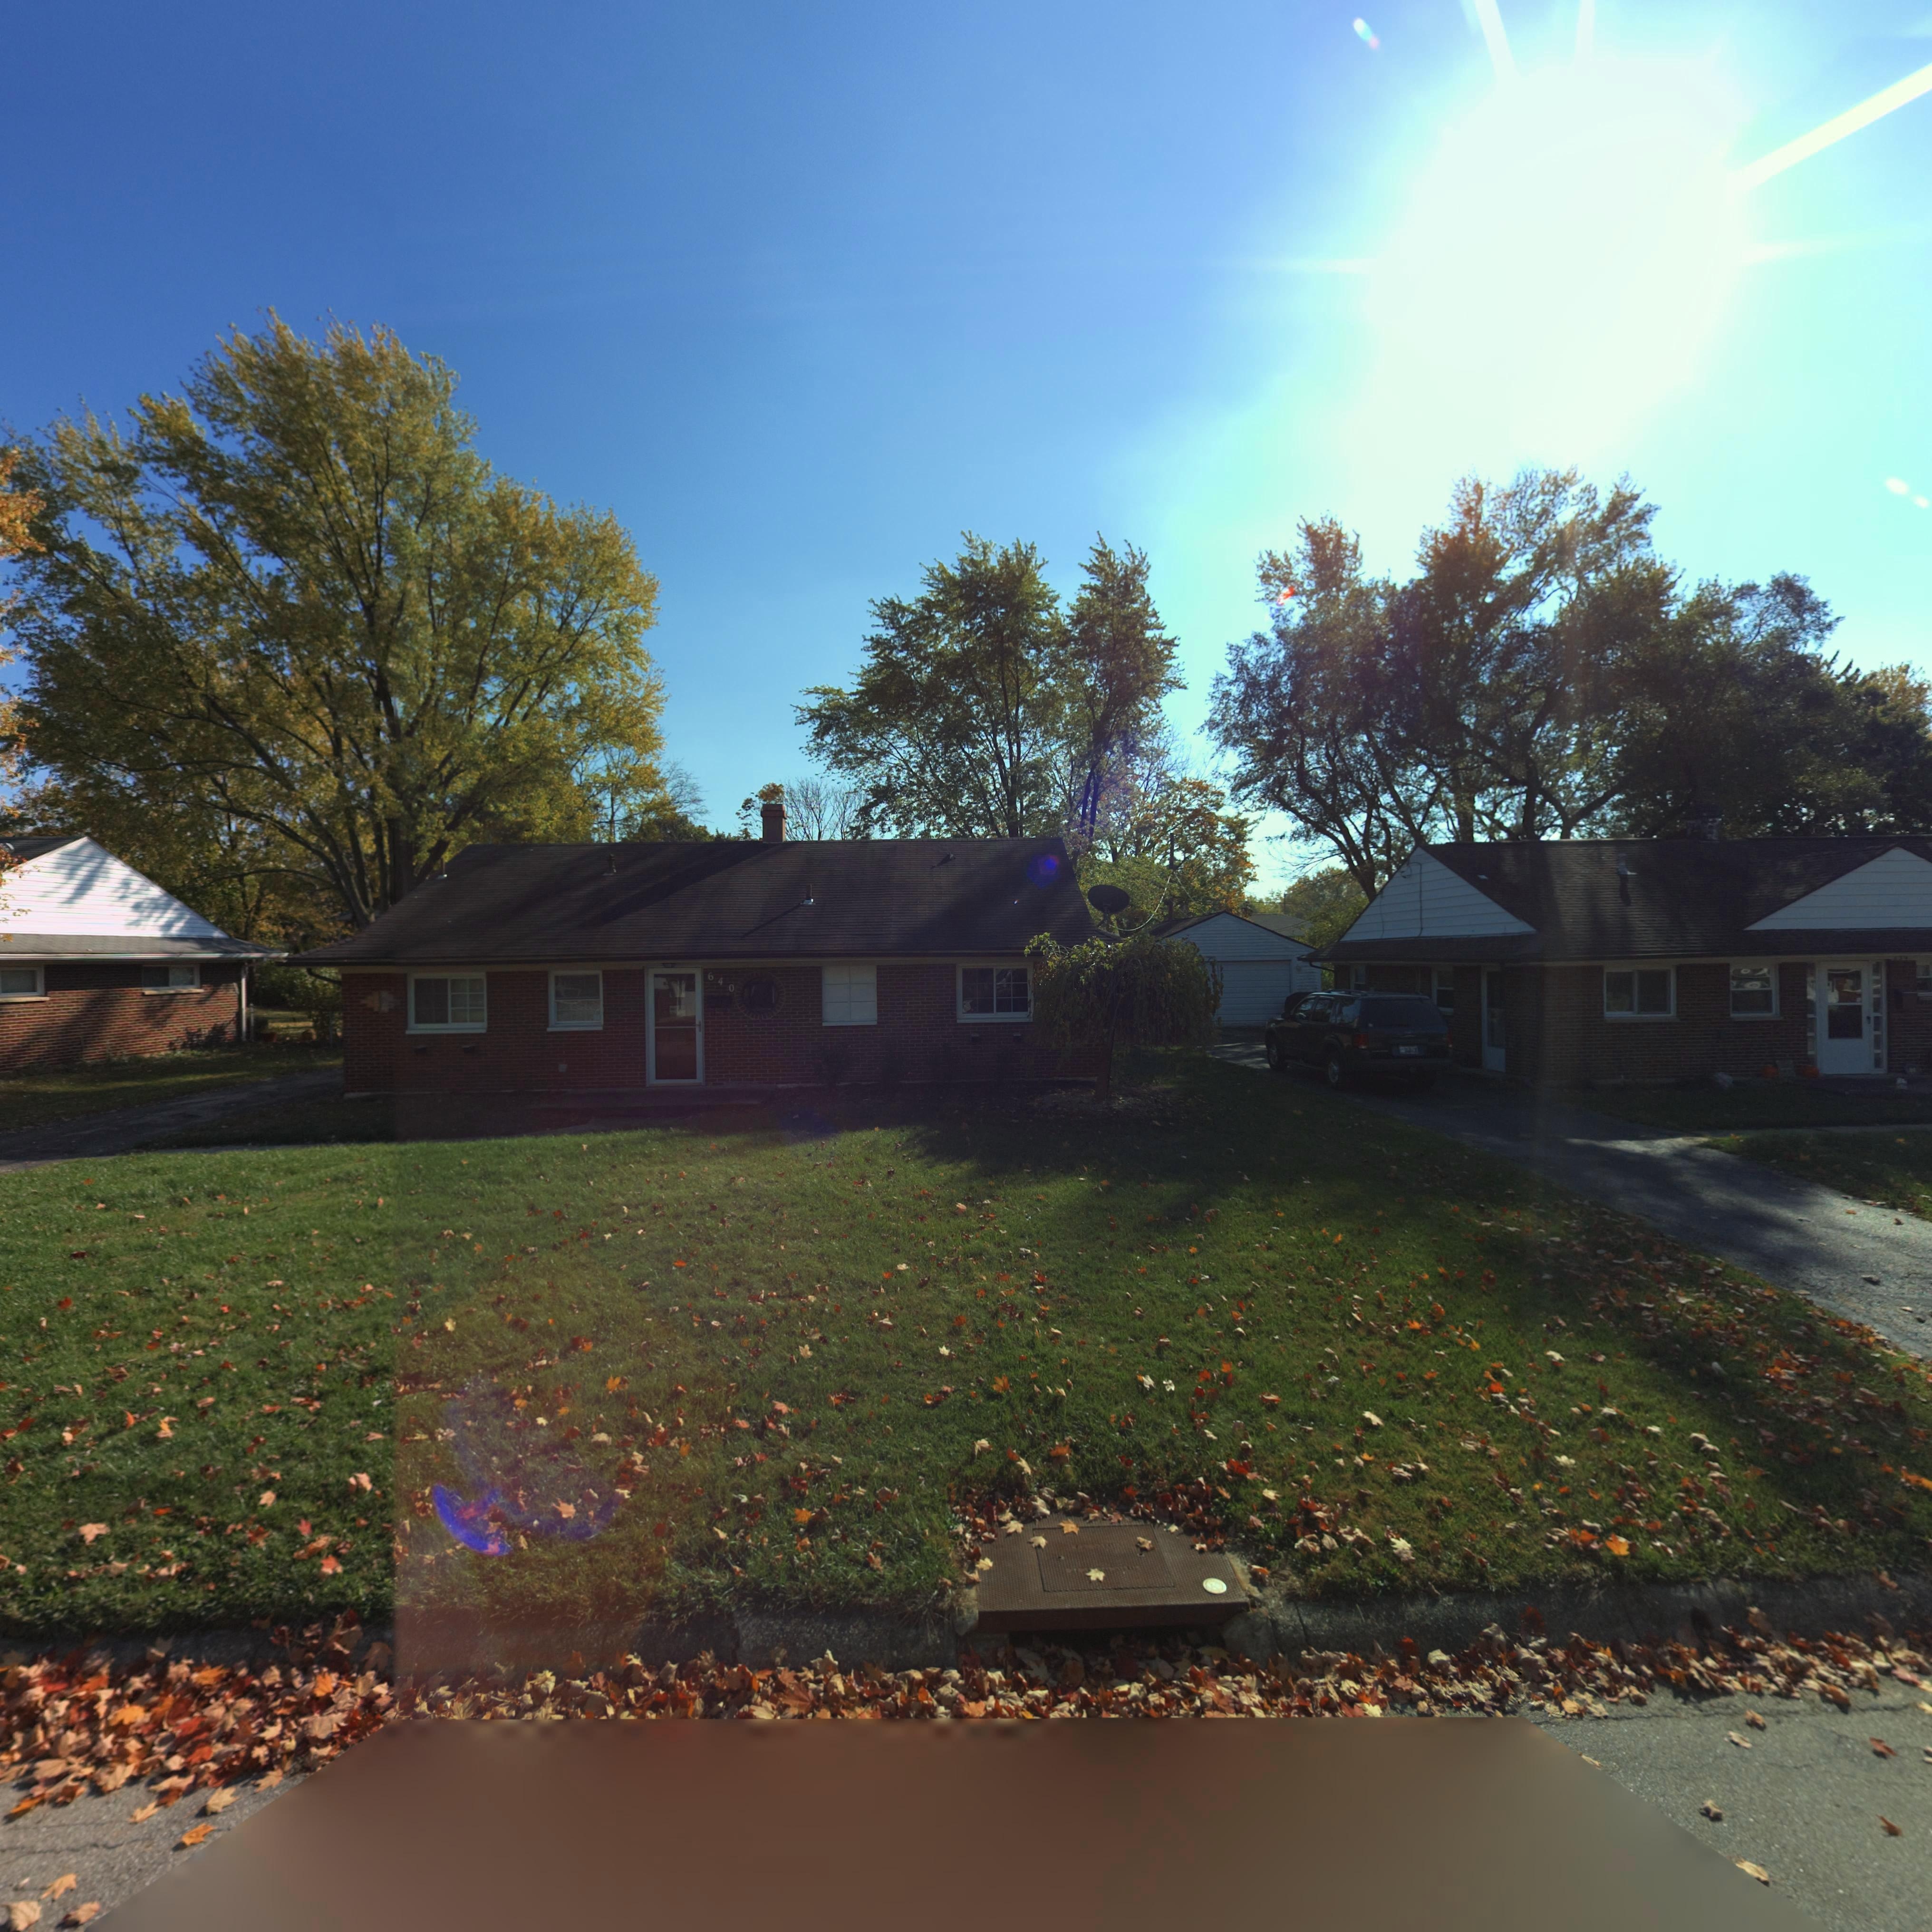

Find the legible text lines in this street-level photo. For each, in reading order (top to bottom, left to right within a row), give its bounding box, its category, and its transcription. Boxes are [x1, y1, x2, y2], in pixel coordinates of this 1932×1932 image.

[706, 970, 736, 994] StreetNumber: 640